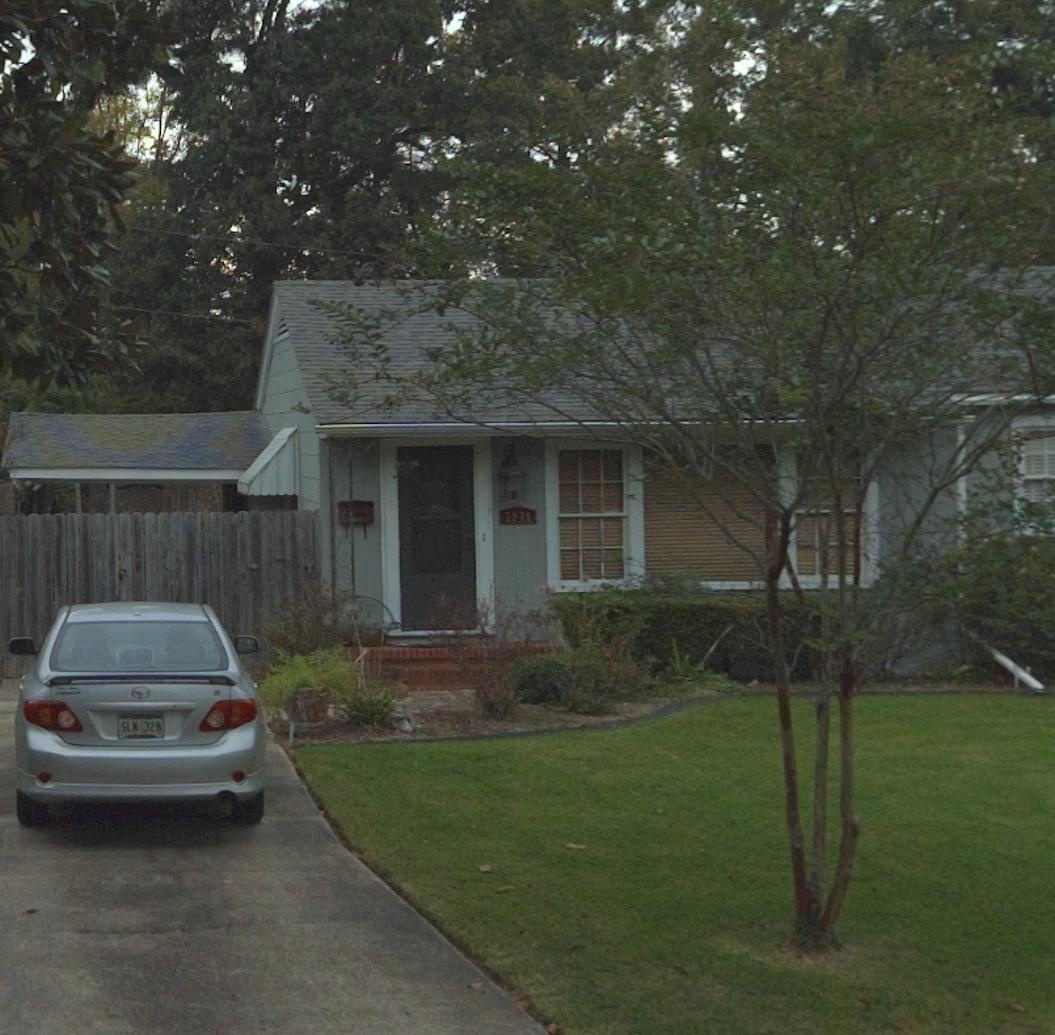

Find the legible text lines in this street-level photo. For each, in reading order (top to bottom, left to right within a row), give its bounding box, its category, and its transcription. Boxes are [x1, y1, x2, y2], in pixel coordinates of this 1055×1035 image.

[504, 510, 531, 522] StreetNumber: 7933
[118, 720, 162, 731] None: SLN 328